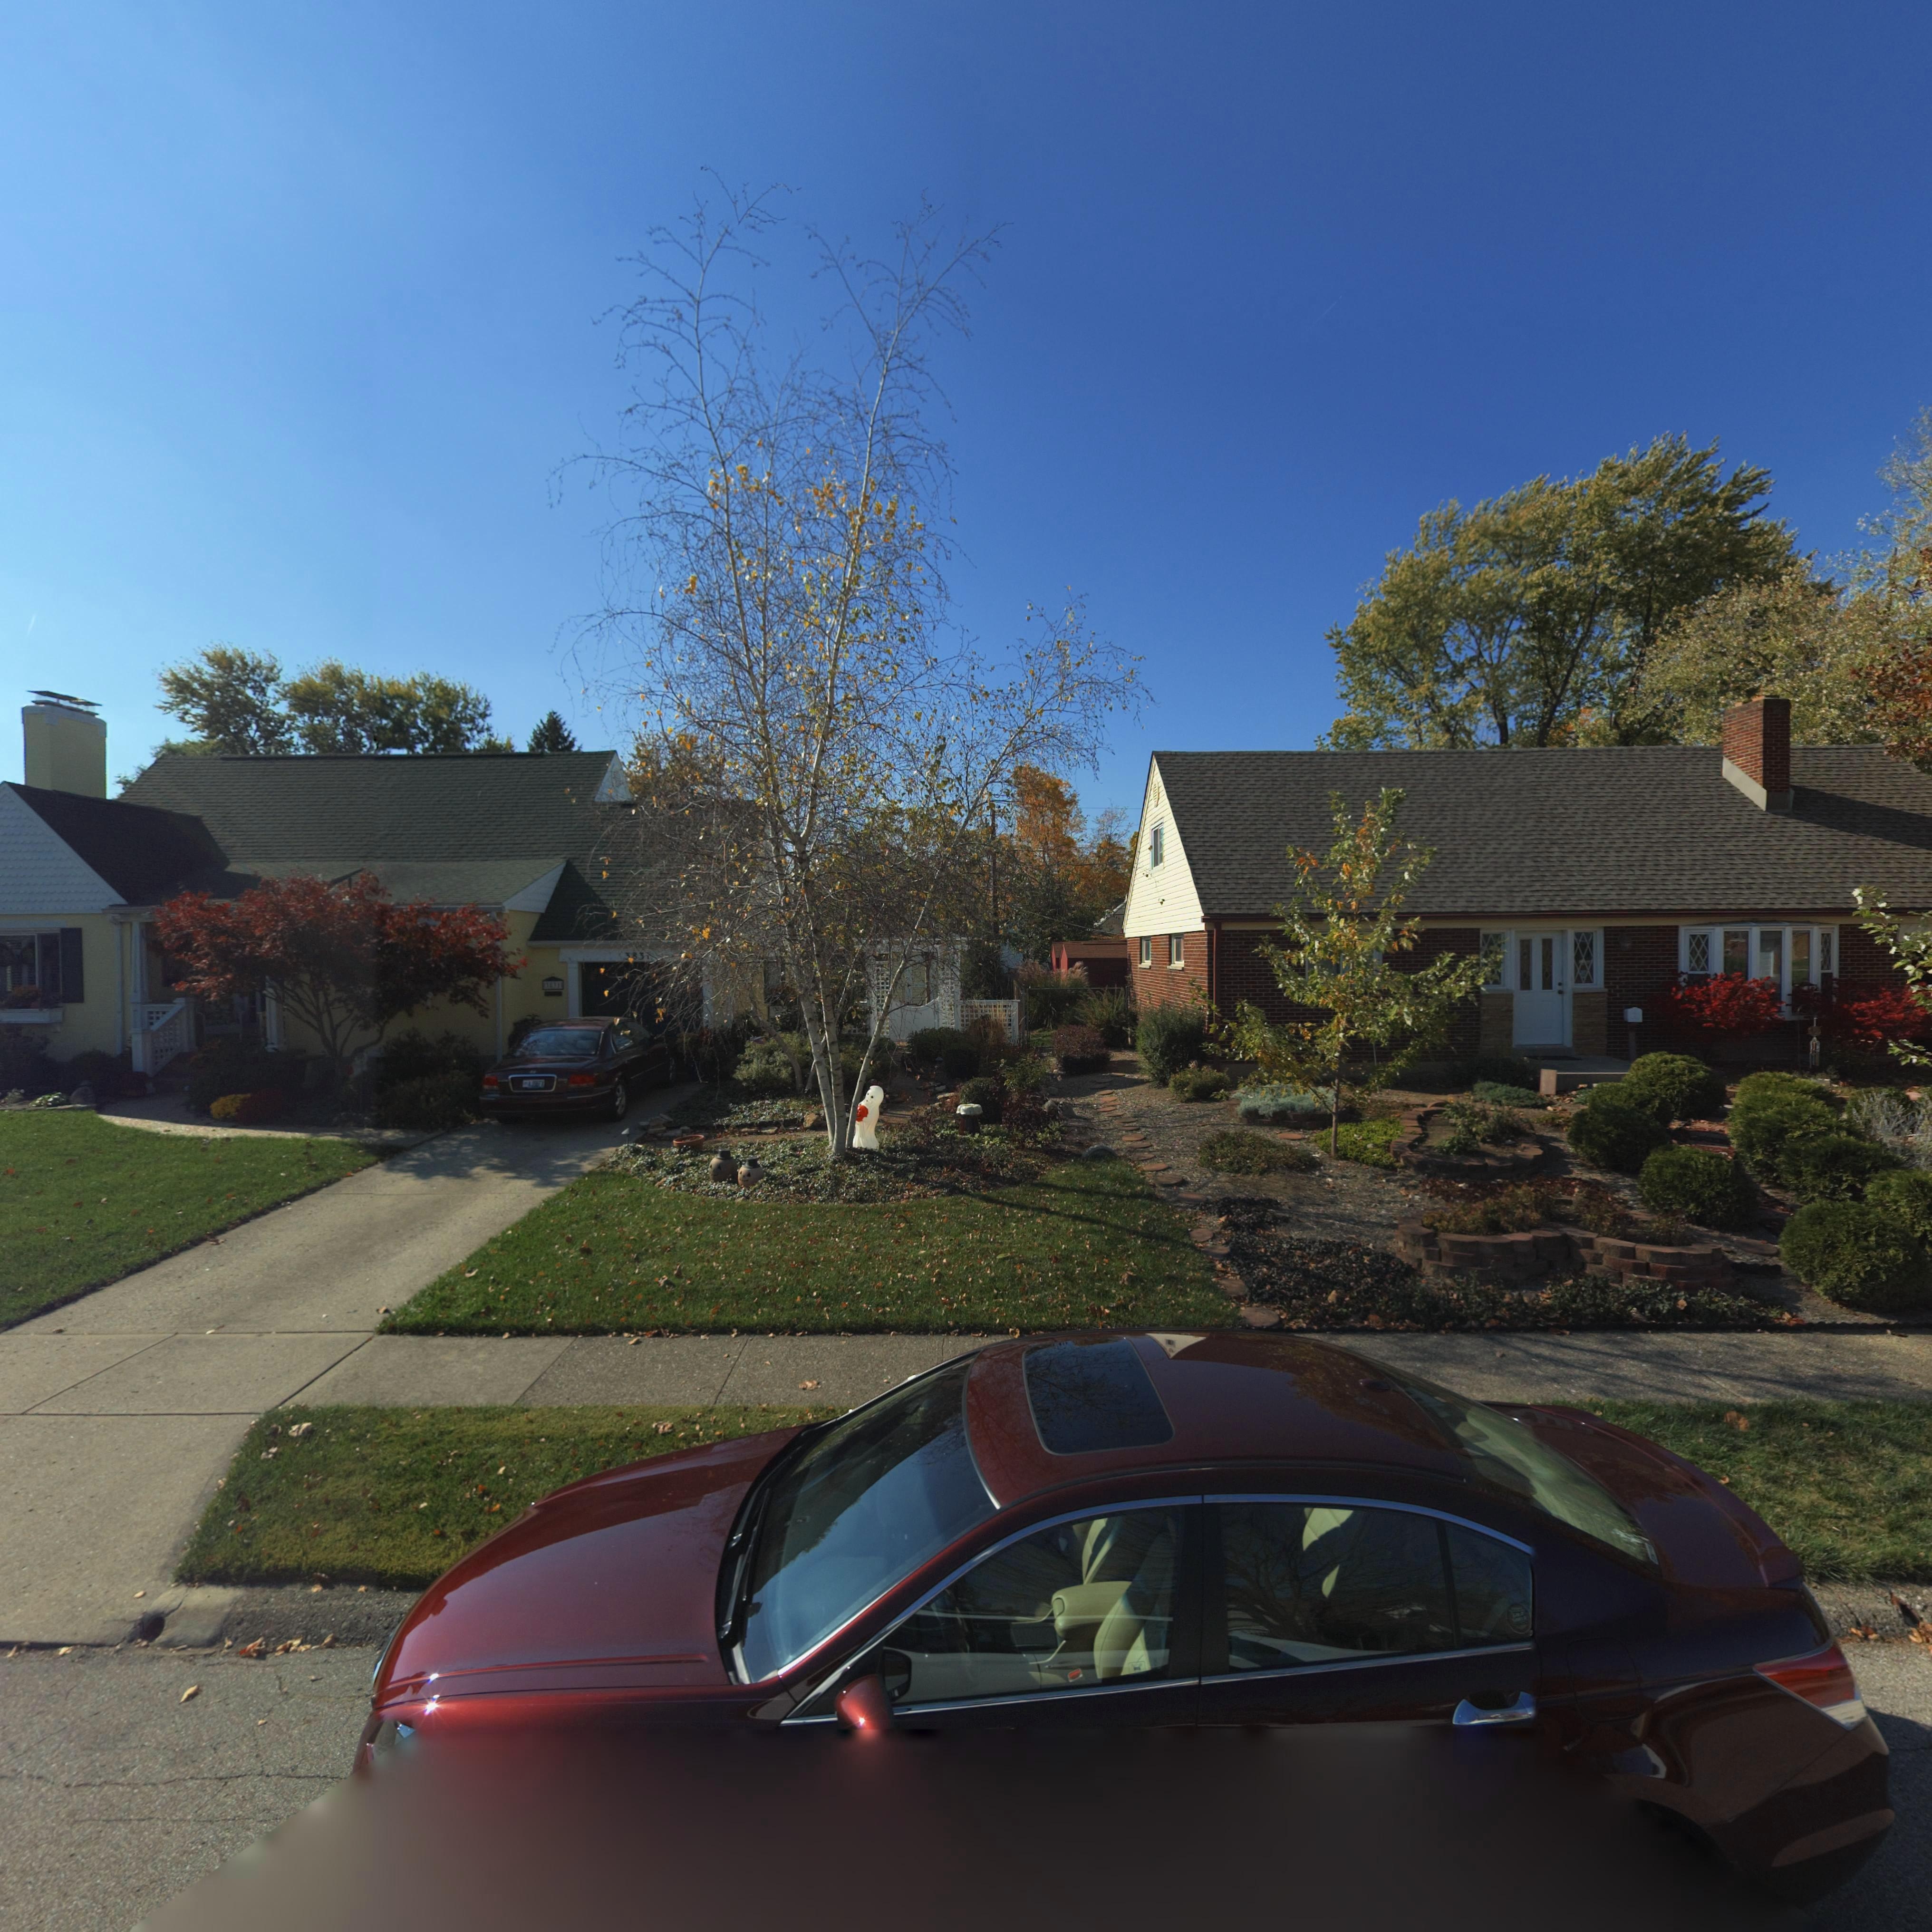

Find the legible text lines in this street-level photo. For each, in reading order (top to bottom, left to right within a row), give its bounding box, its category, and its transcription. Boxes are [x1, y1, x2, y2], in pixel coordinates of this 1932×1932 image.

[623, 951, 650, 961] StreetNumber: 383*
[545, 982, 560, 988] StreetNumber: 3*31
[527, 1080, 545, 1088] None: AJ**FX